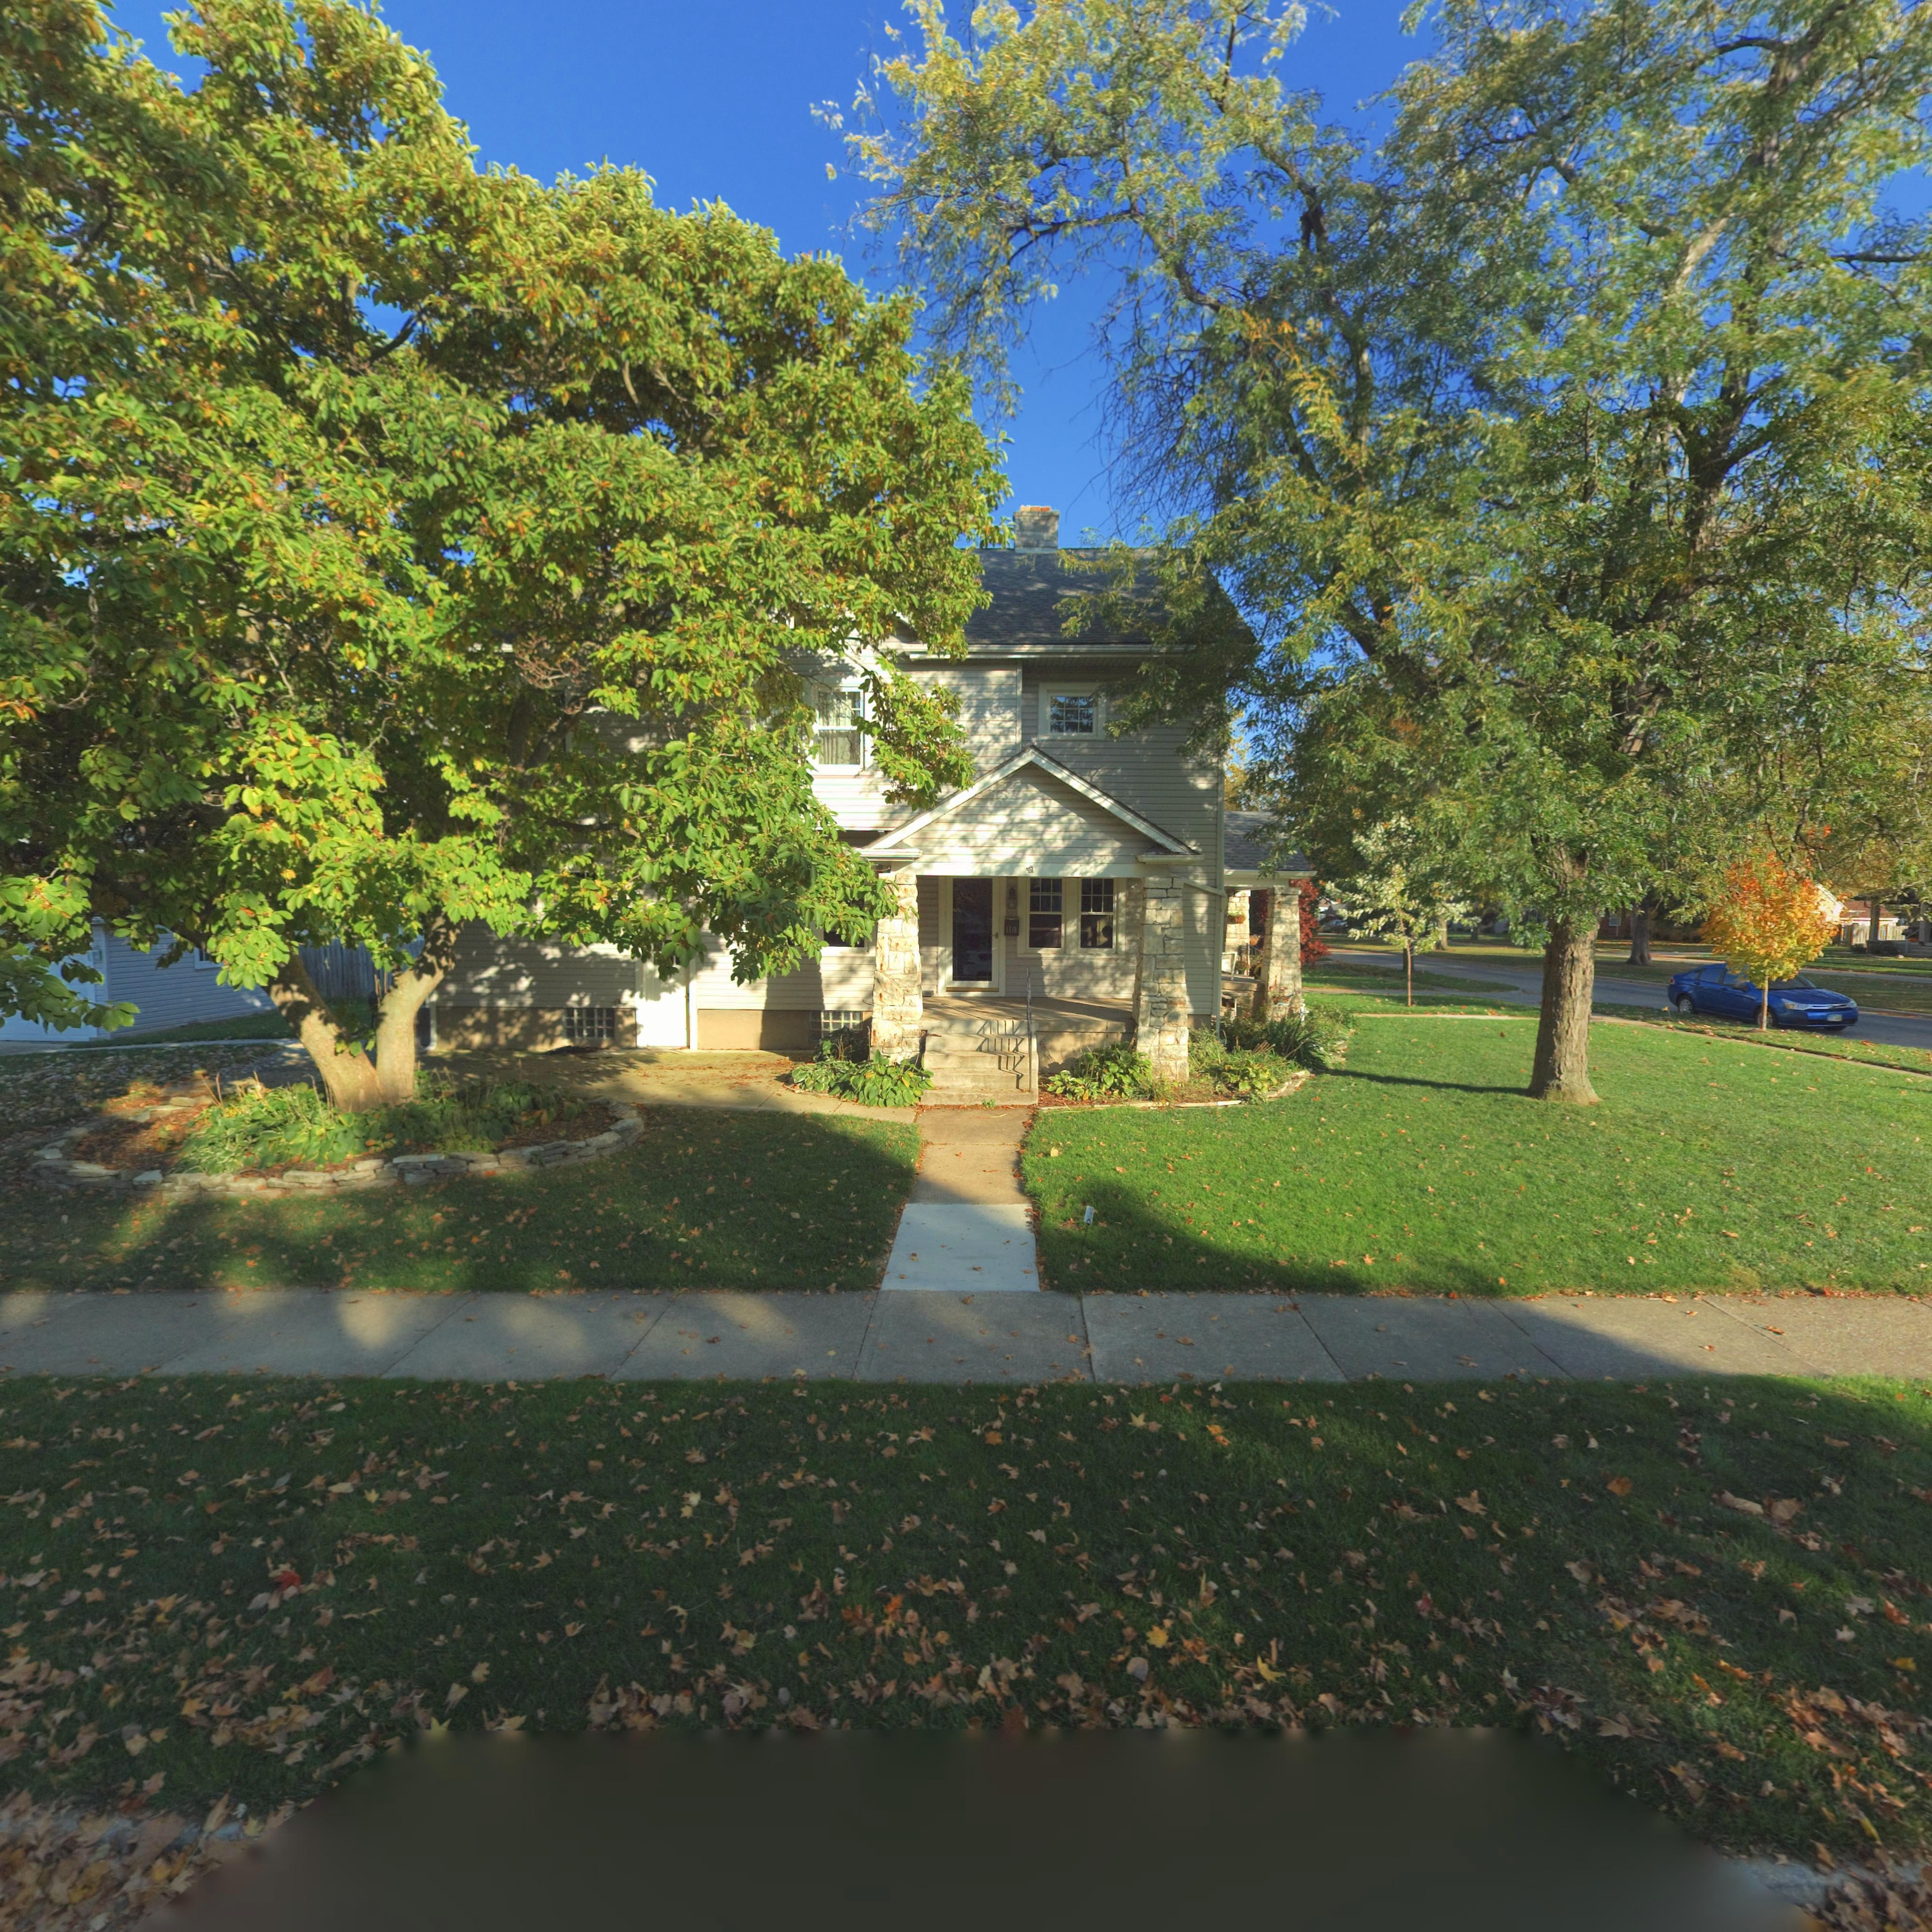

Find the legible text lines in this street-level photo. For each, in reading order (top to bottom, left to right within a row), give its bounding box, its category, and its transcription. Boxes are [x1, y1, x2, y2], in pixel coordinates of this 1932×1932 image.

[1005, 926, 1018, 934] StreetNumber: 1518